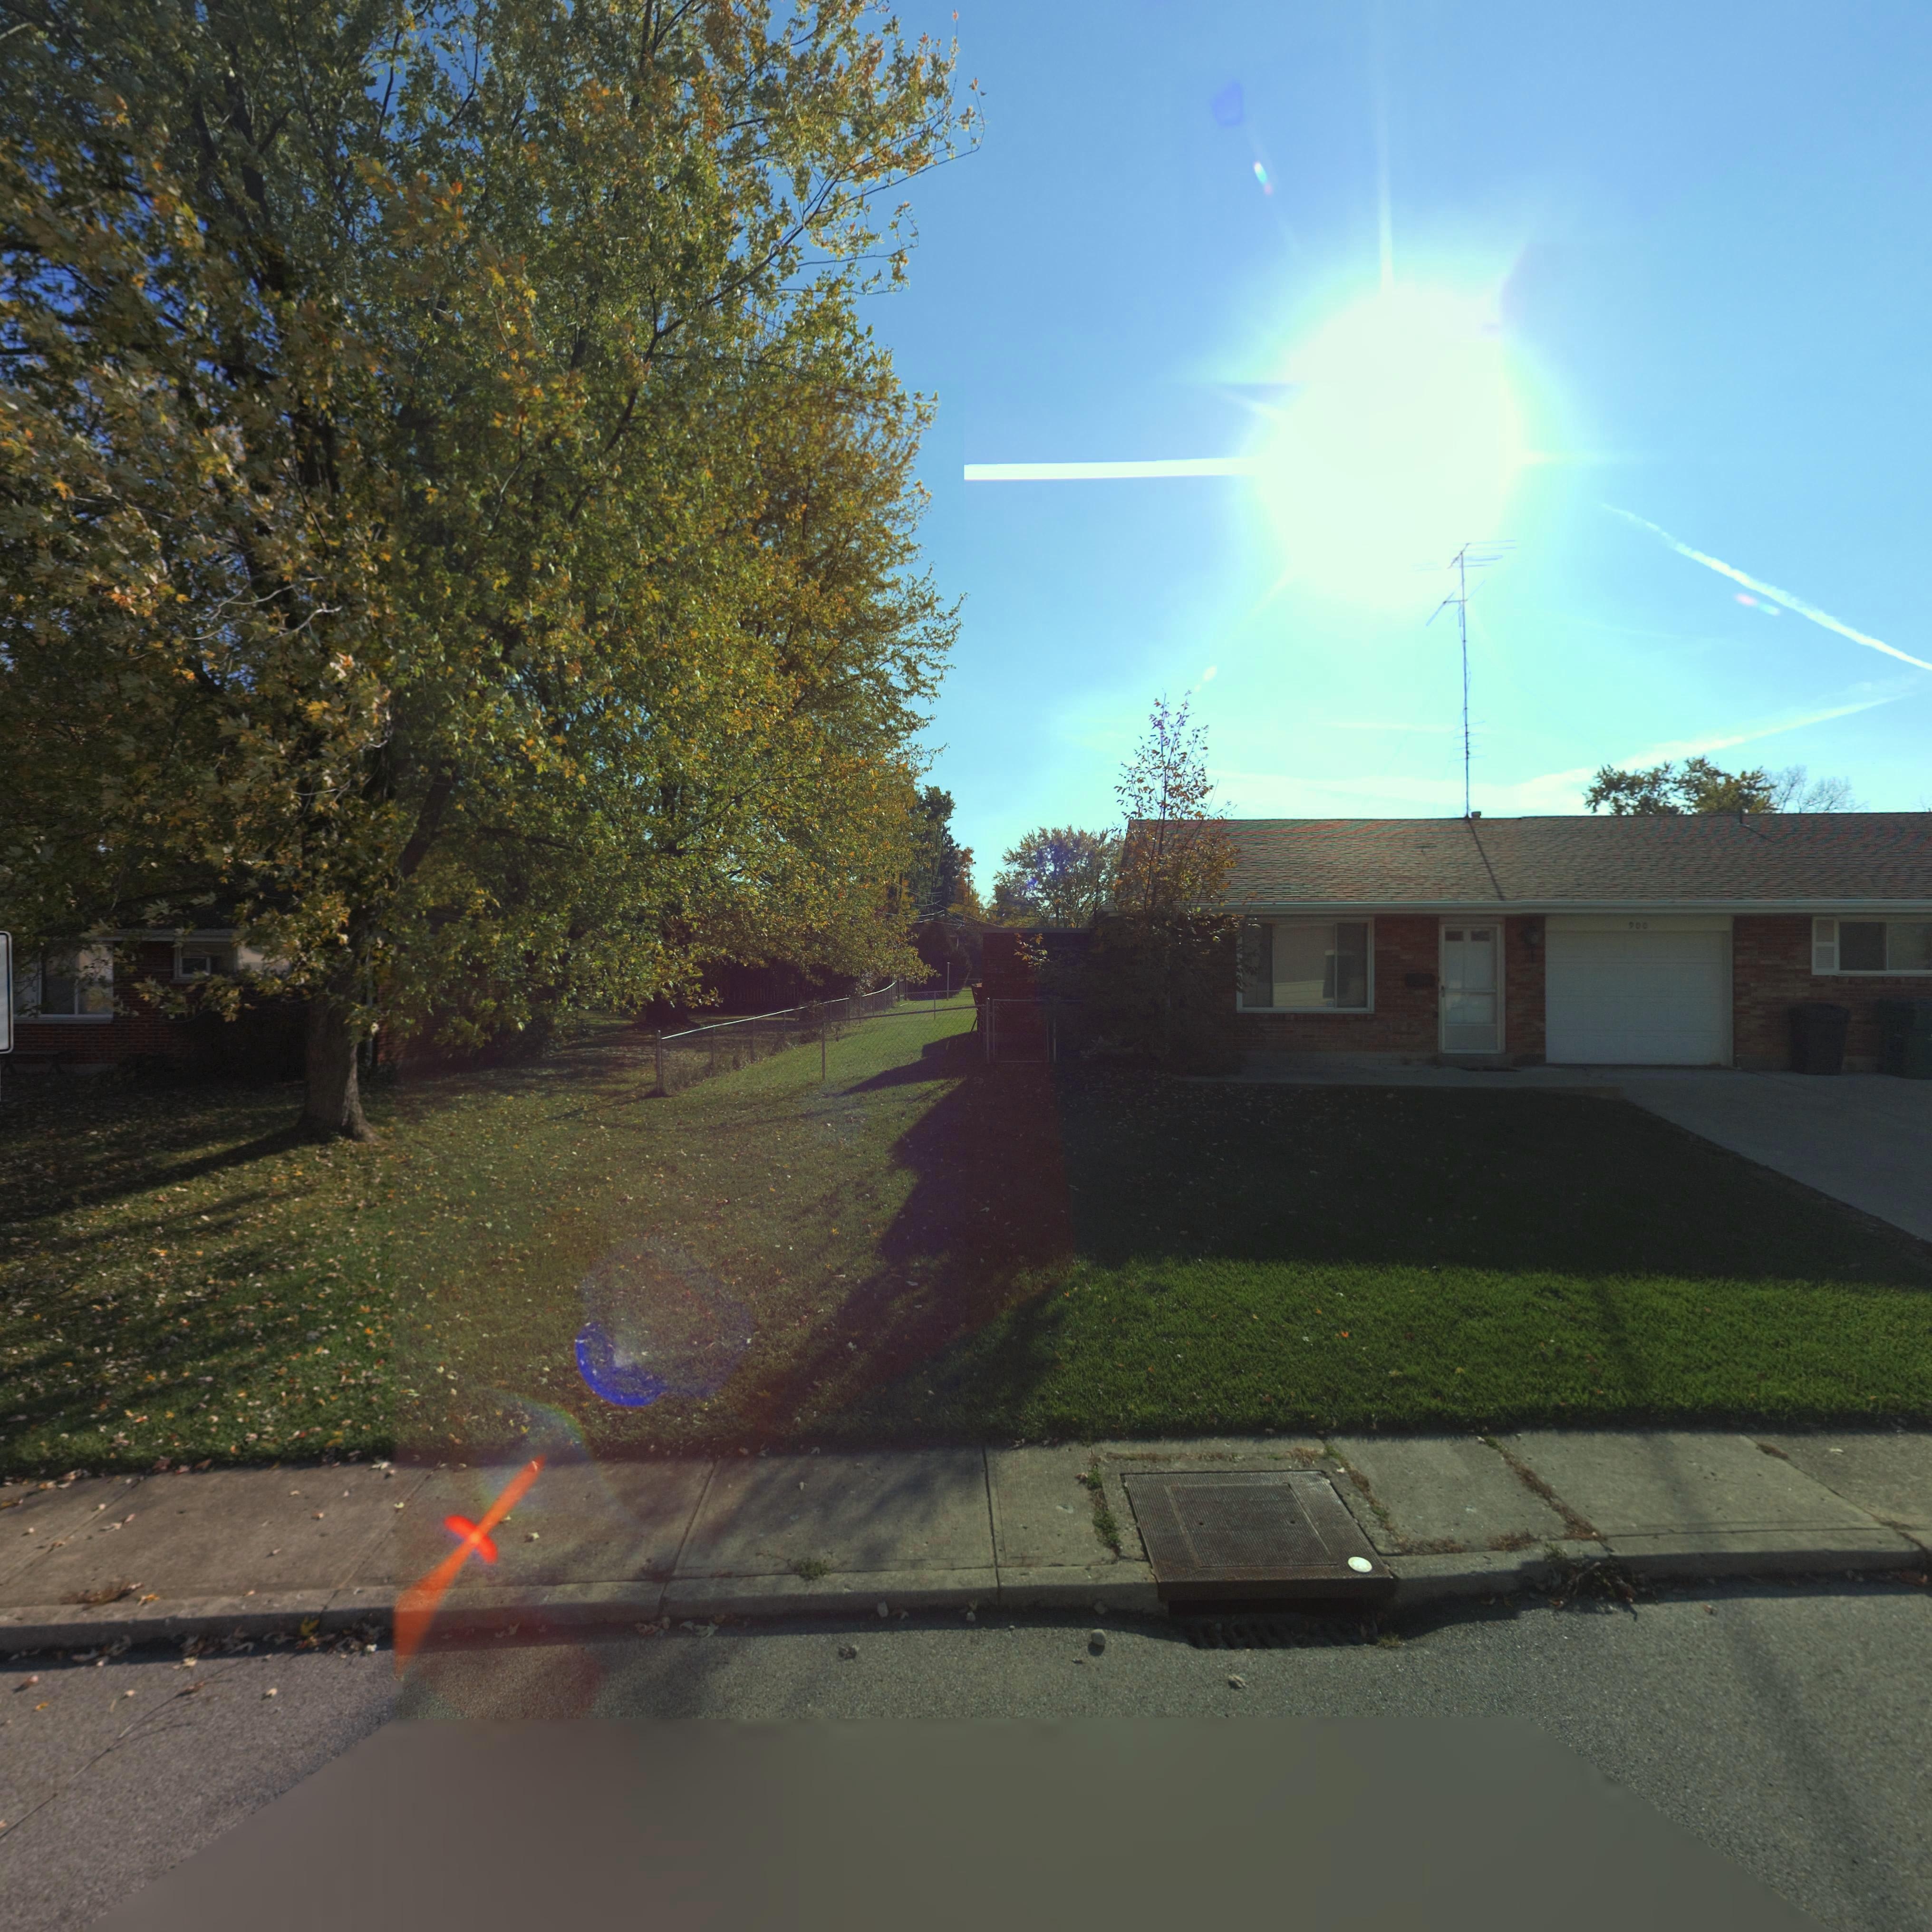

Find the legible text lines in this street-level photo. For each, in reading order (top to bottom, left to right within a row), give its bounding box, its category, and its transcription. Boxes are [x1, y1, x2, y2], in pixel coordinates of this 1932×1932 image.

[1627, 921, 1649, 930] StreetNumber: 900